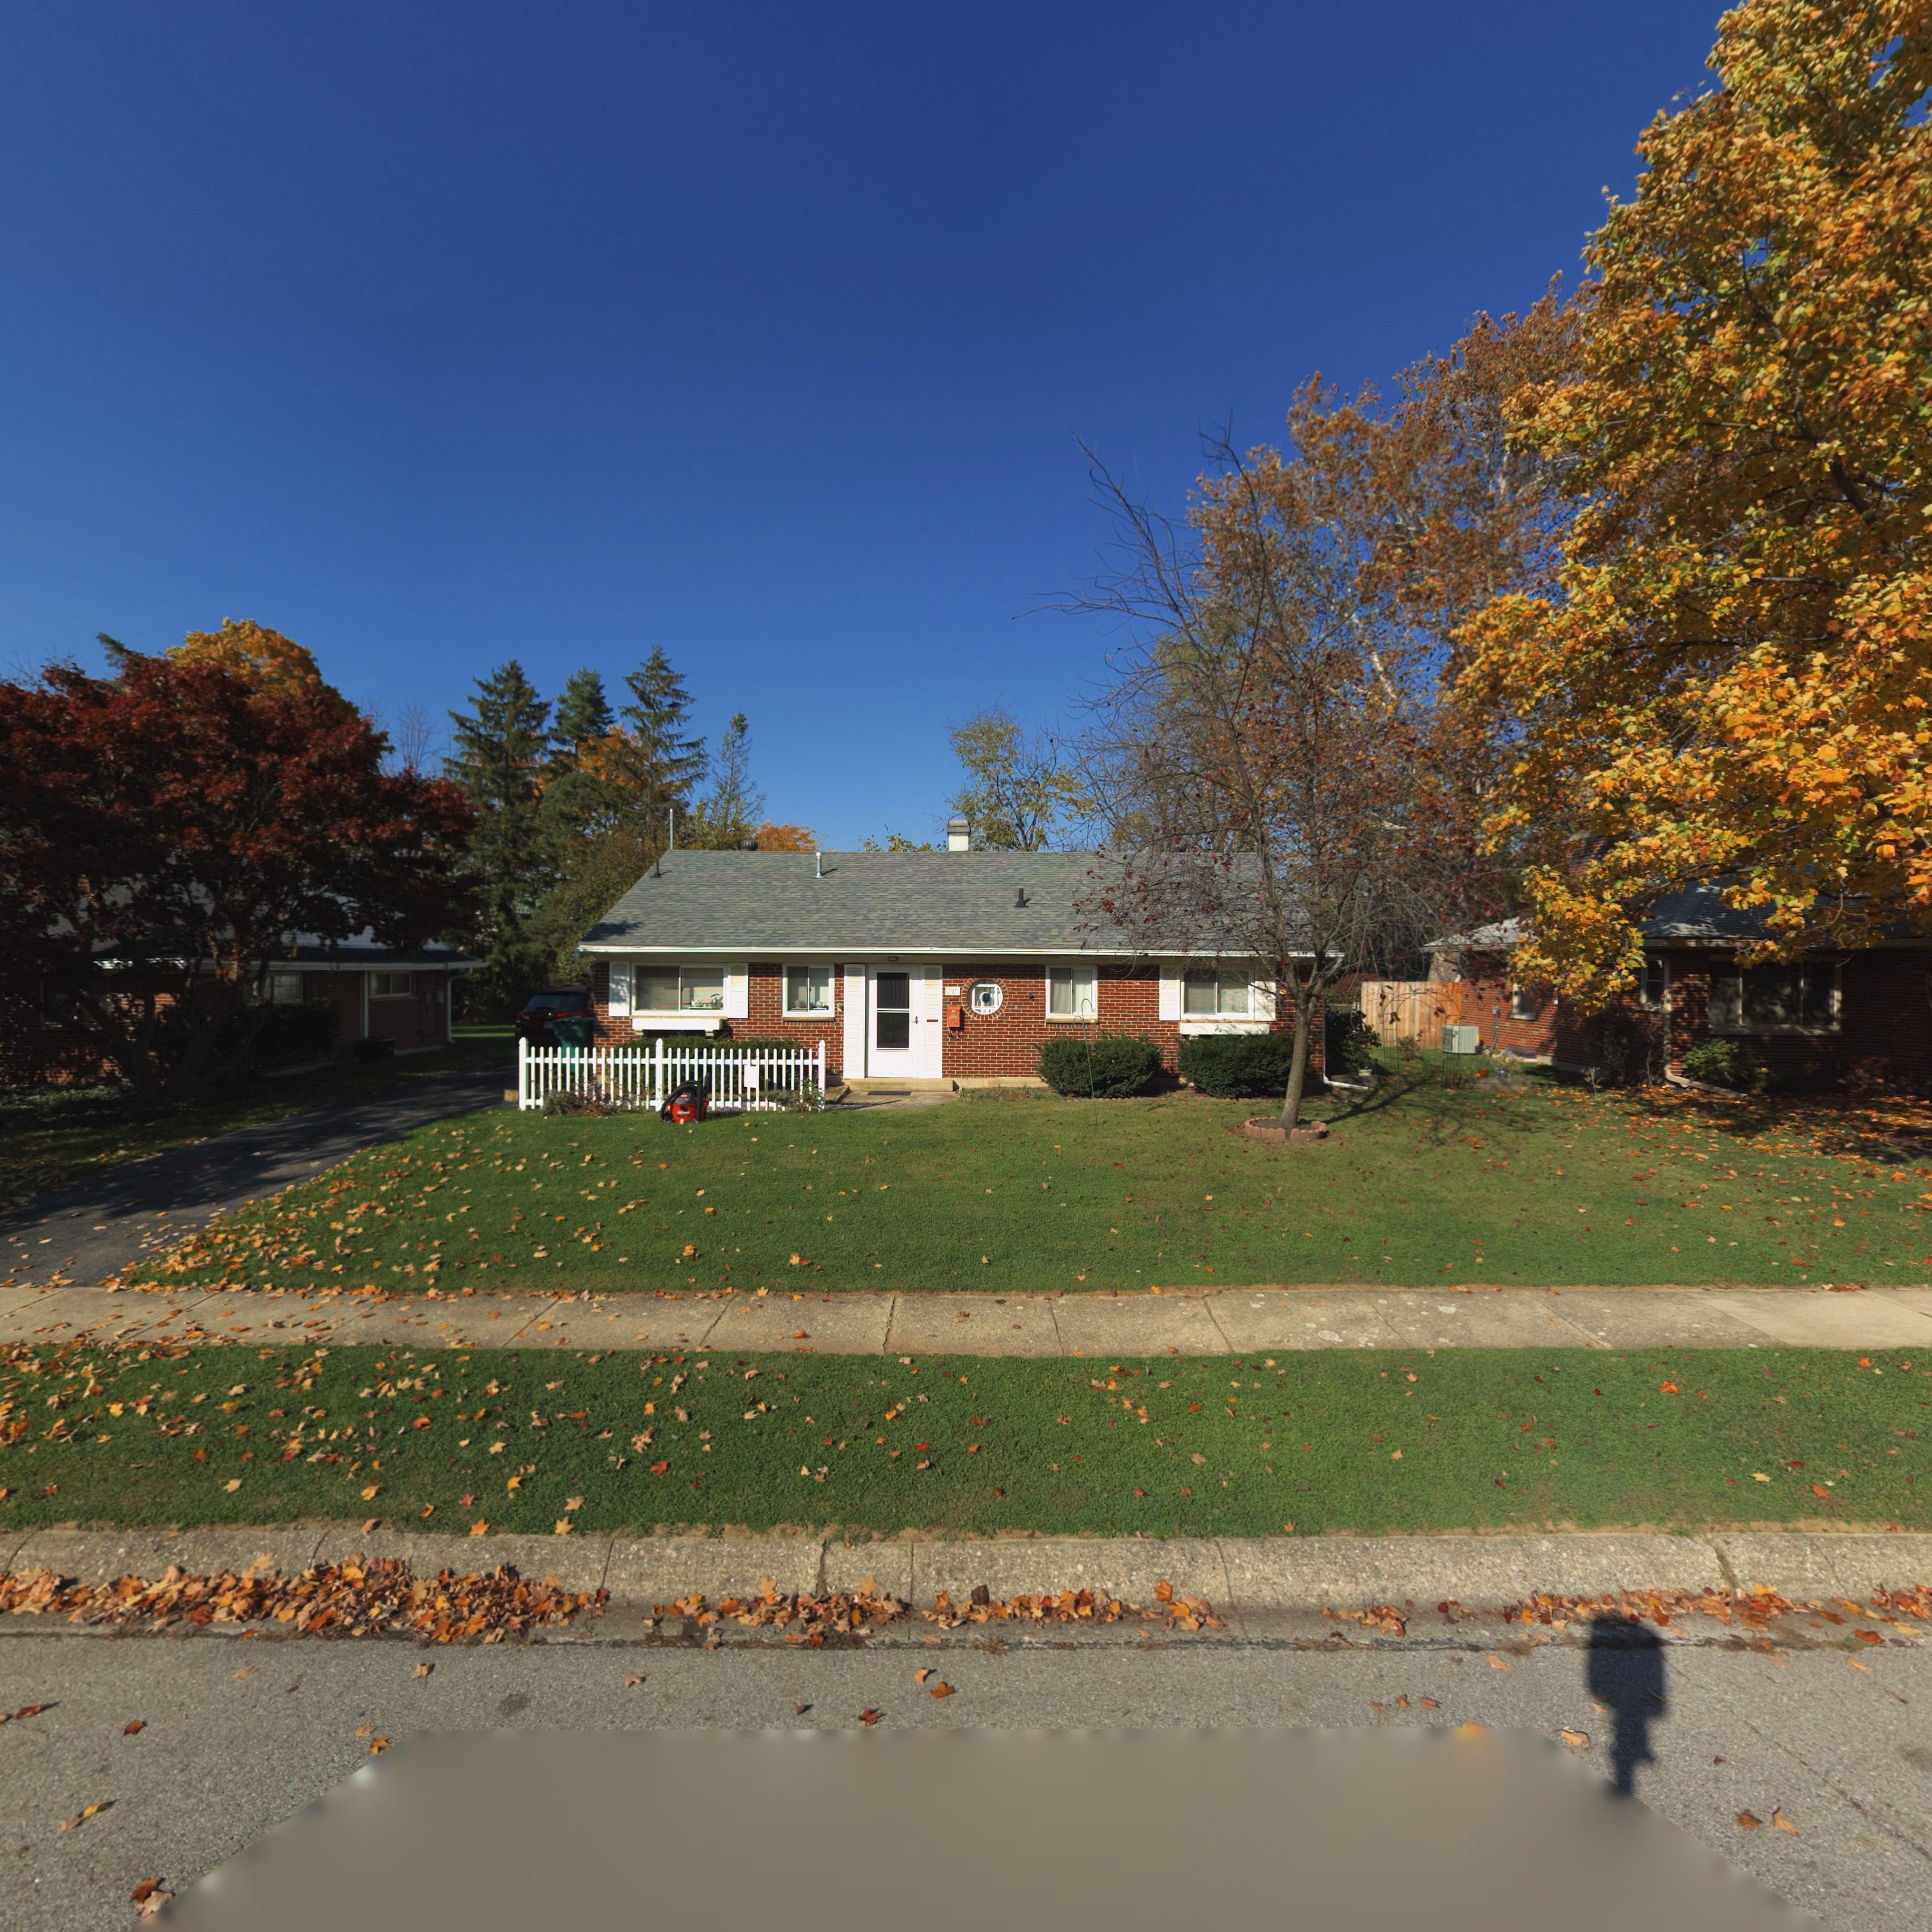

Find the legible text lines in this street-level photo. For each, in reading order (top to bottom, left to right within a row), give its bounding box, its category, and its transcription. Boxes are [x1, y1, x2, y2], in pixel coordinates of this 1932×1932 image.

[948, 988, 957, 994] StreetNumber: 707